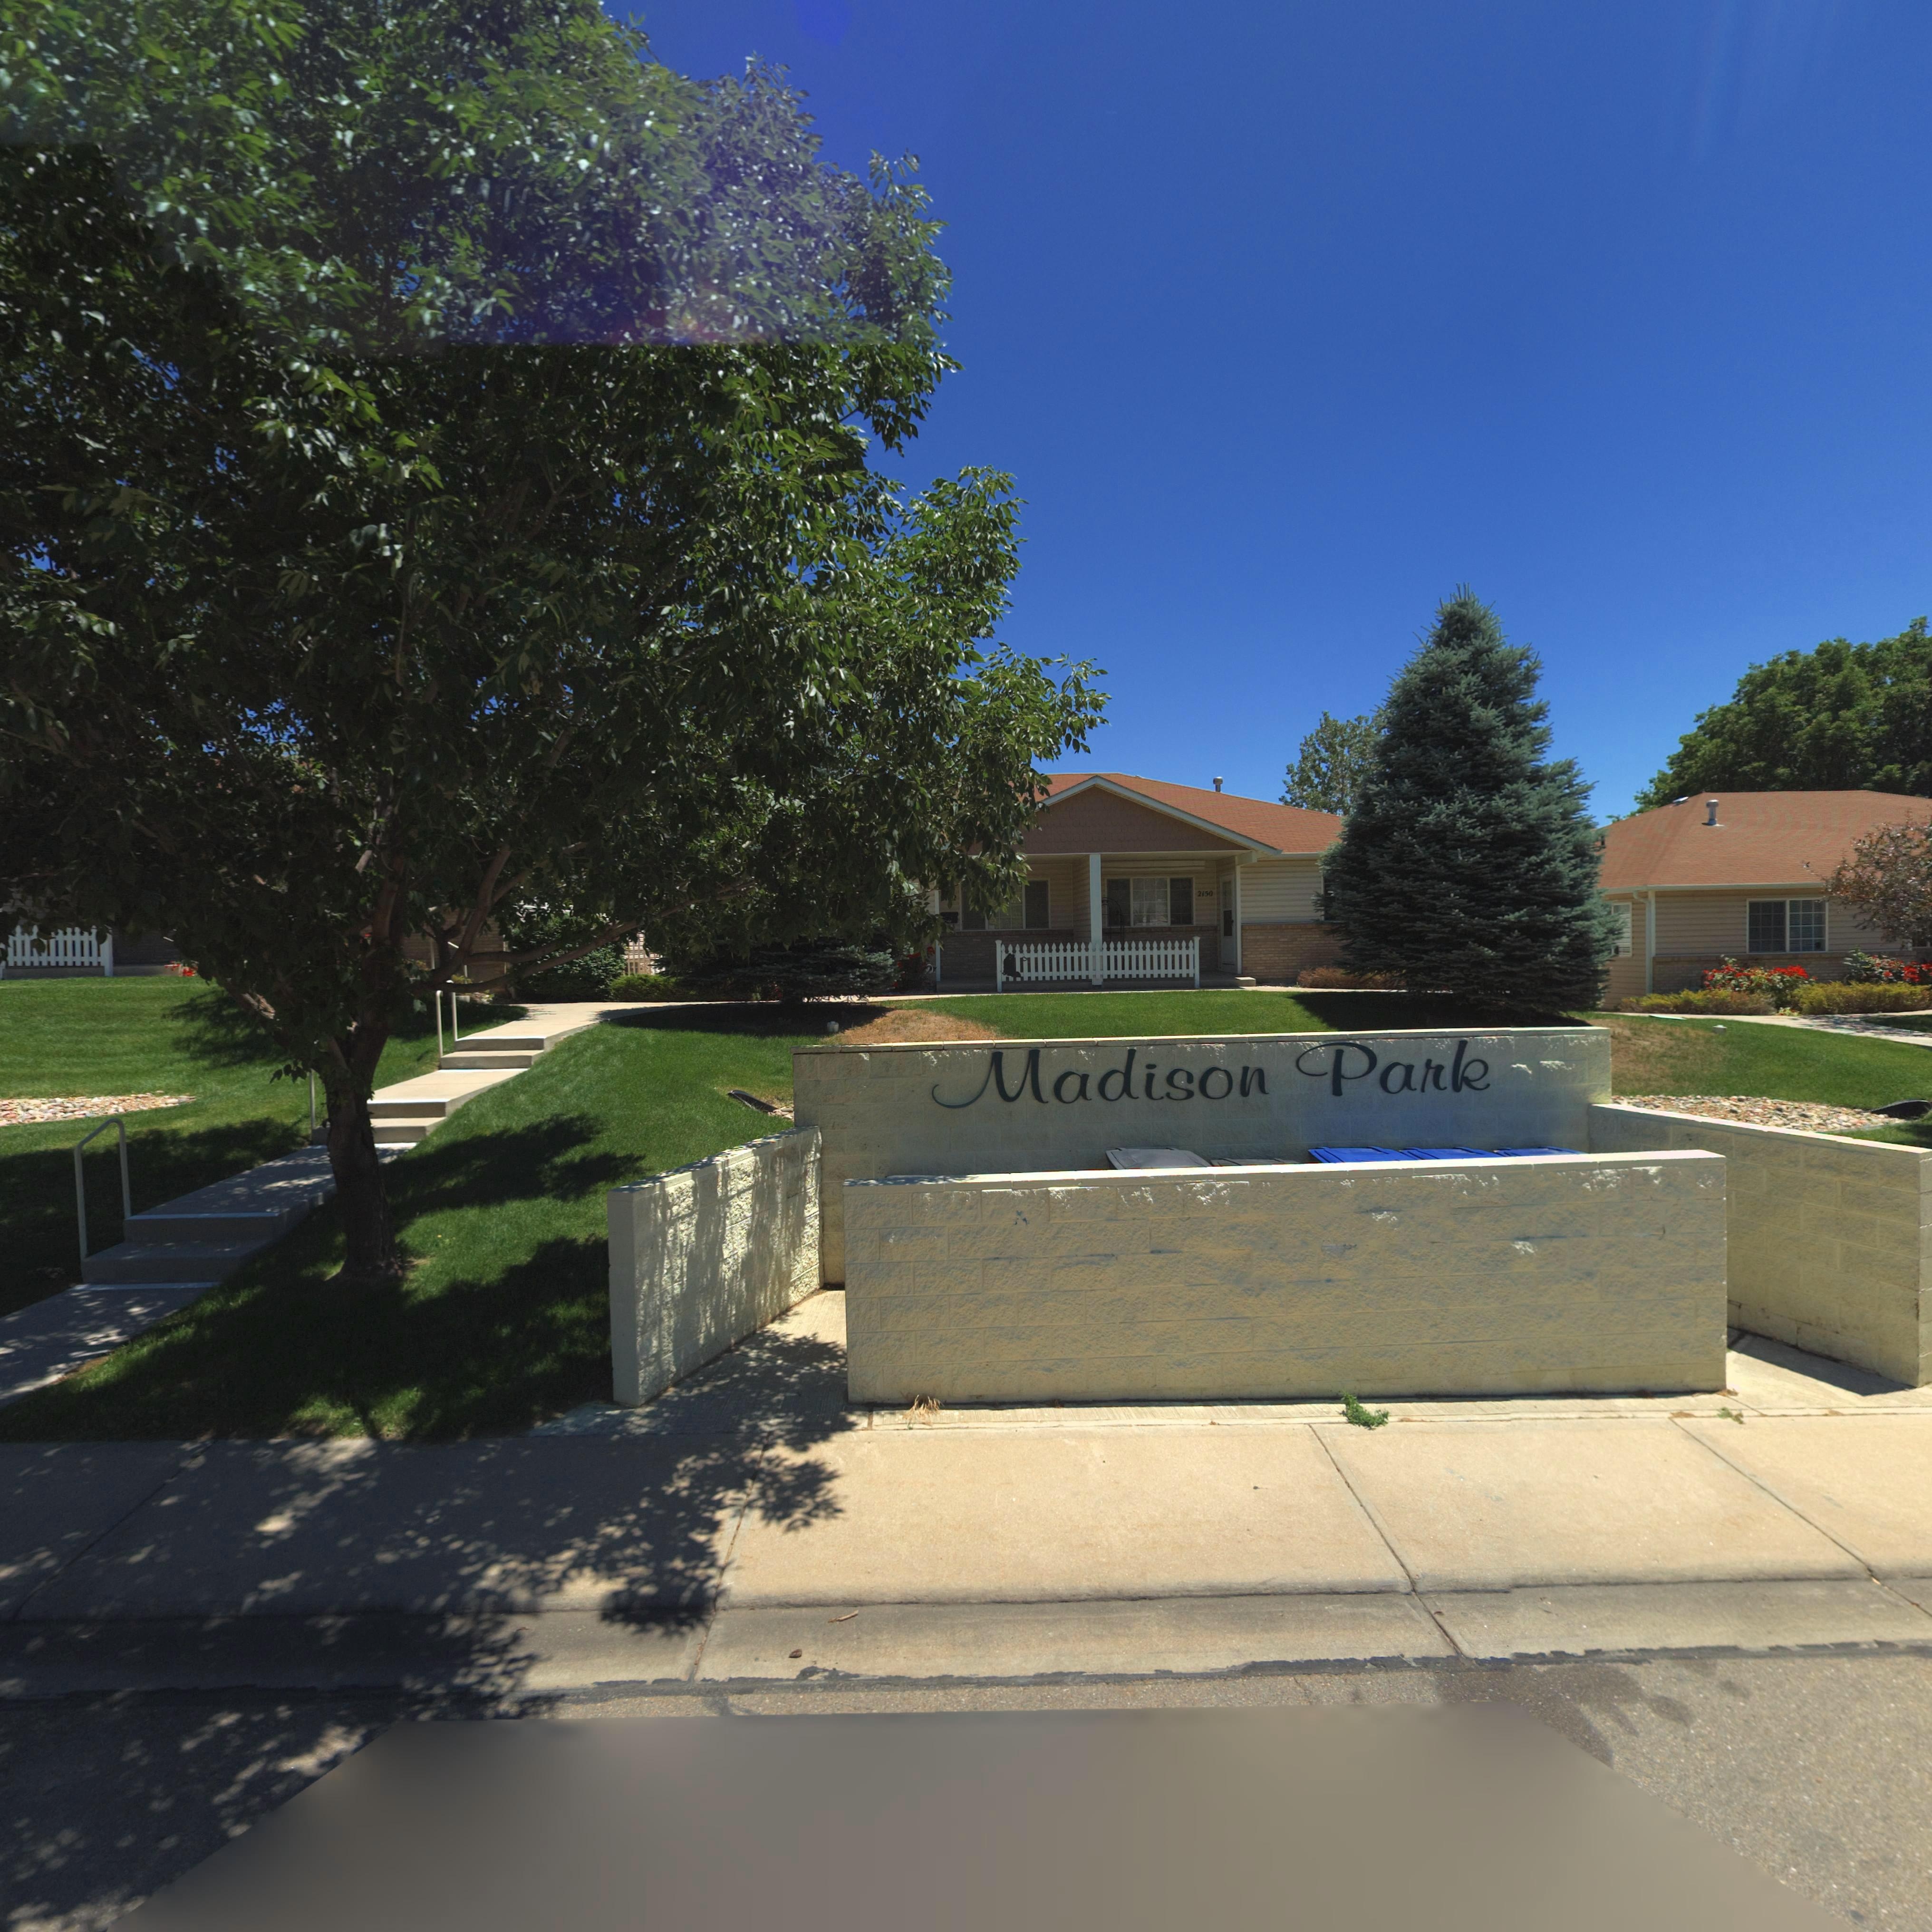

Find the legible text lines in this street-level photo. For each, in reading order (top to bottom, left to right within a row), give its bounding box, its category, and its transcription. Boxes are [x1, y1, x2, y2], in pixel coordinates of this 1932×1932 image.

[1196, 889, 1216, 898] StreetNumber: 2150